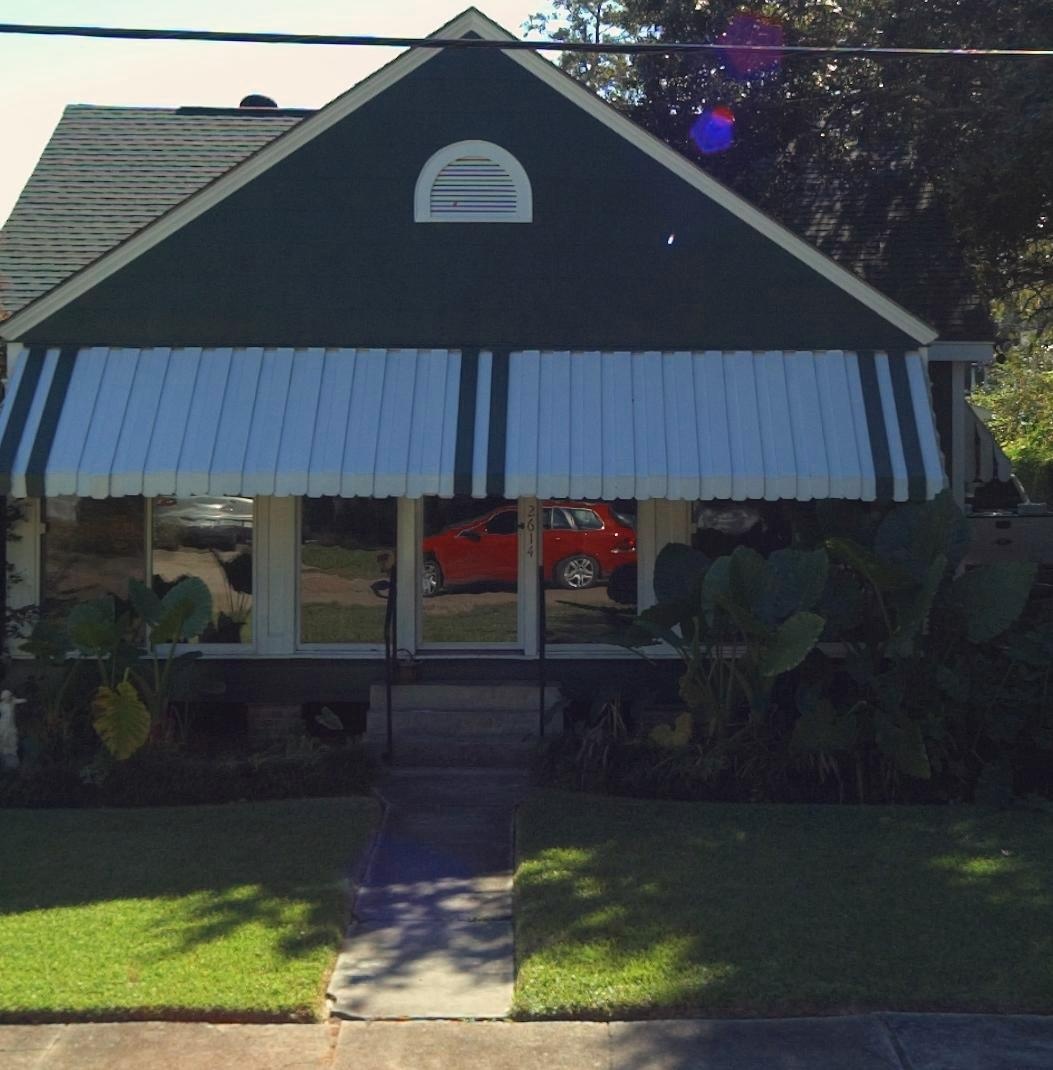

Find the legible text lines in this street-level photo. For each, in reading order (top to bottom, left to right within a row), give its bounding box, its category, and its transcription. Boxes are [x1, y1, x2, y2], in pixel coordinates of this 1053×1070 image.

[525, 503, 536, 560] StreetNumber: 2614